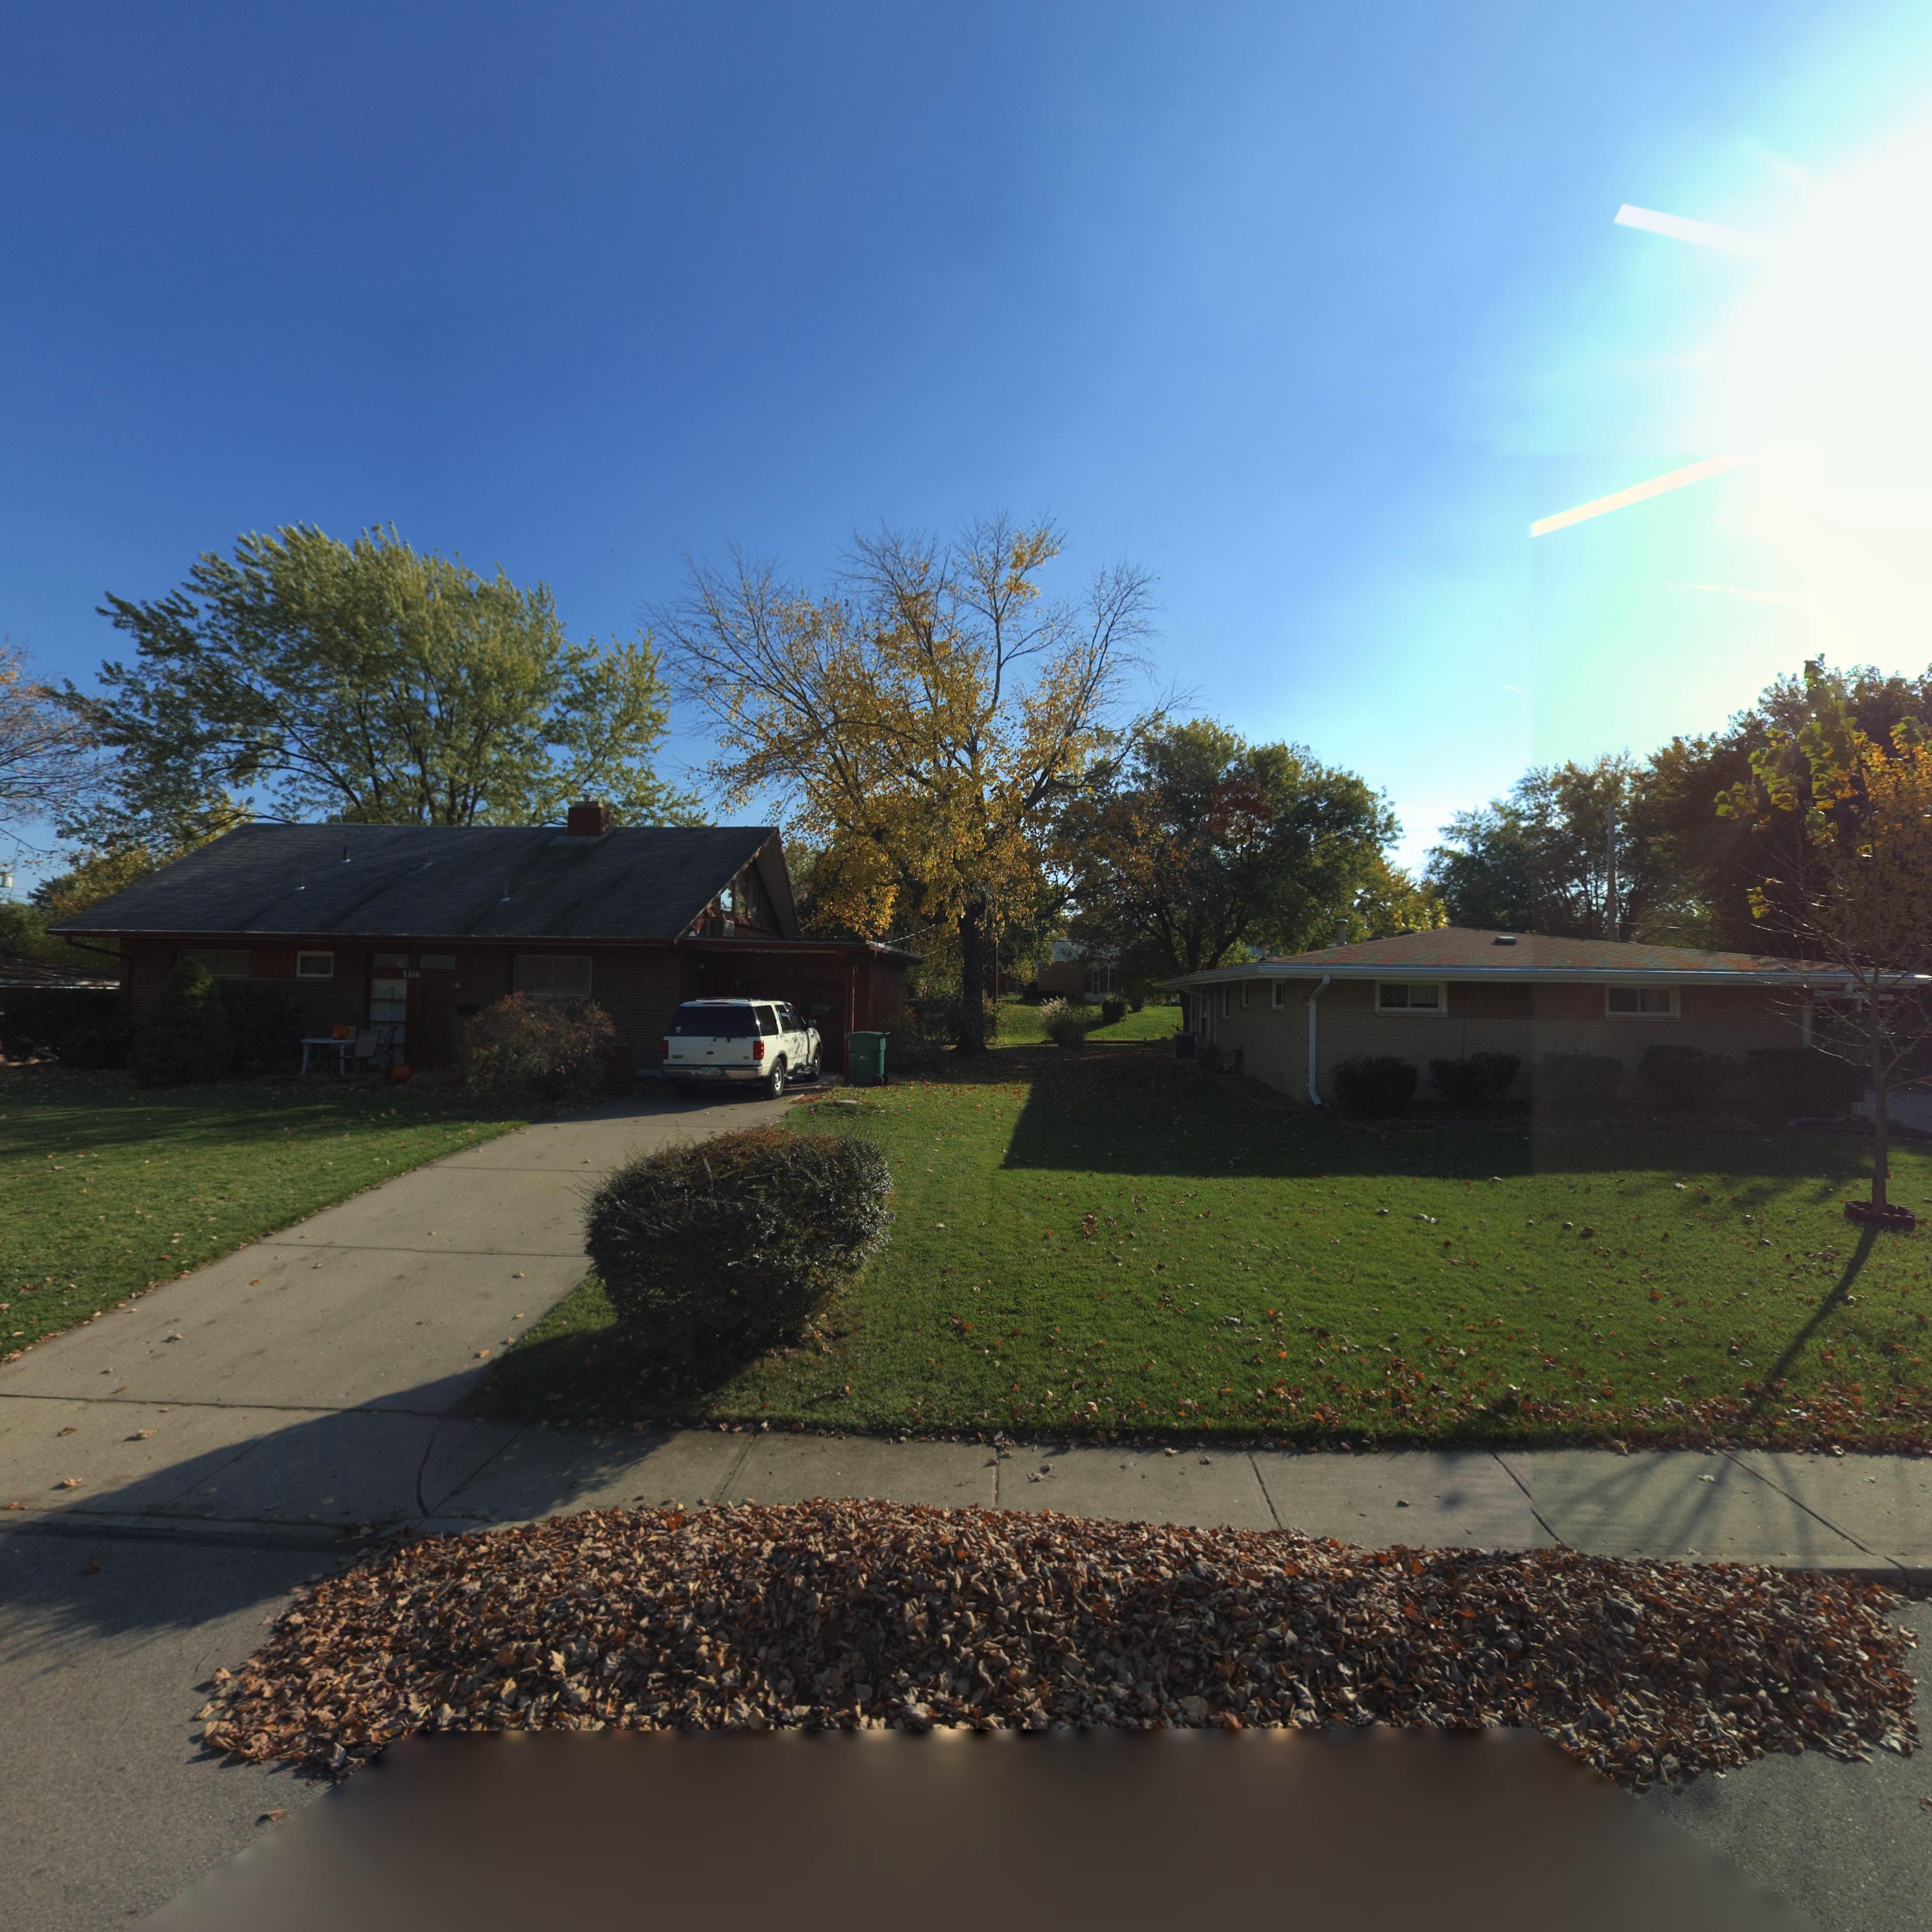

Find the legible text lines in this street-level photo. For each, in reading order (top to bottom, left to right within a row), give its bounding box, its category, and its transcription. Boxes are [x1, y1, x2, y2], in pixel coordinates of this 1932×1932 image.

[402, 969, 421, 979] StreetNumber: 7116